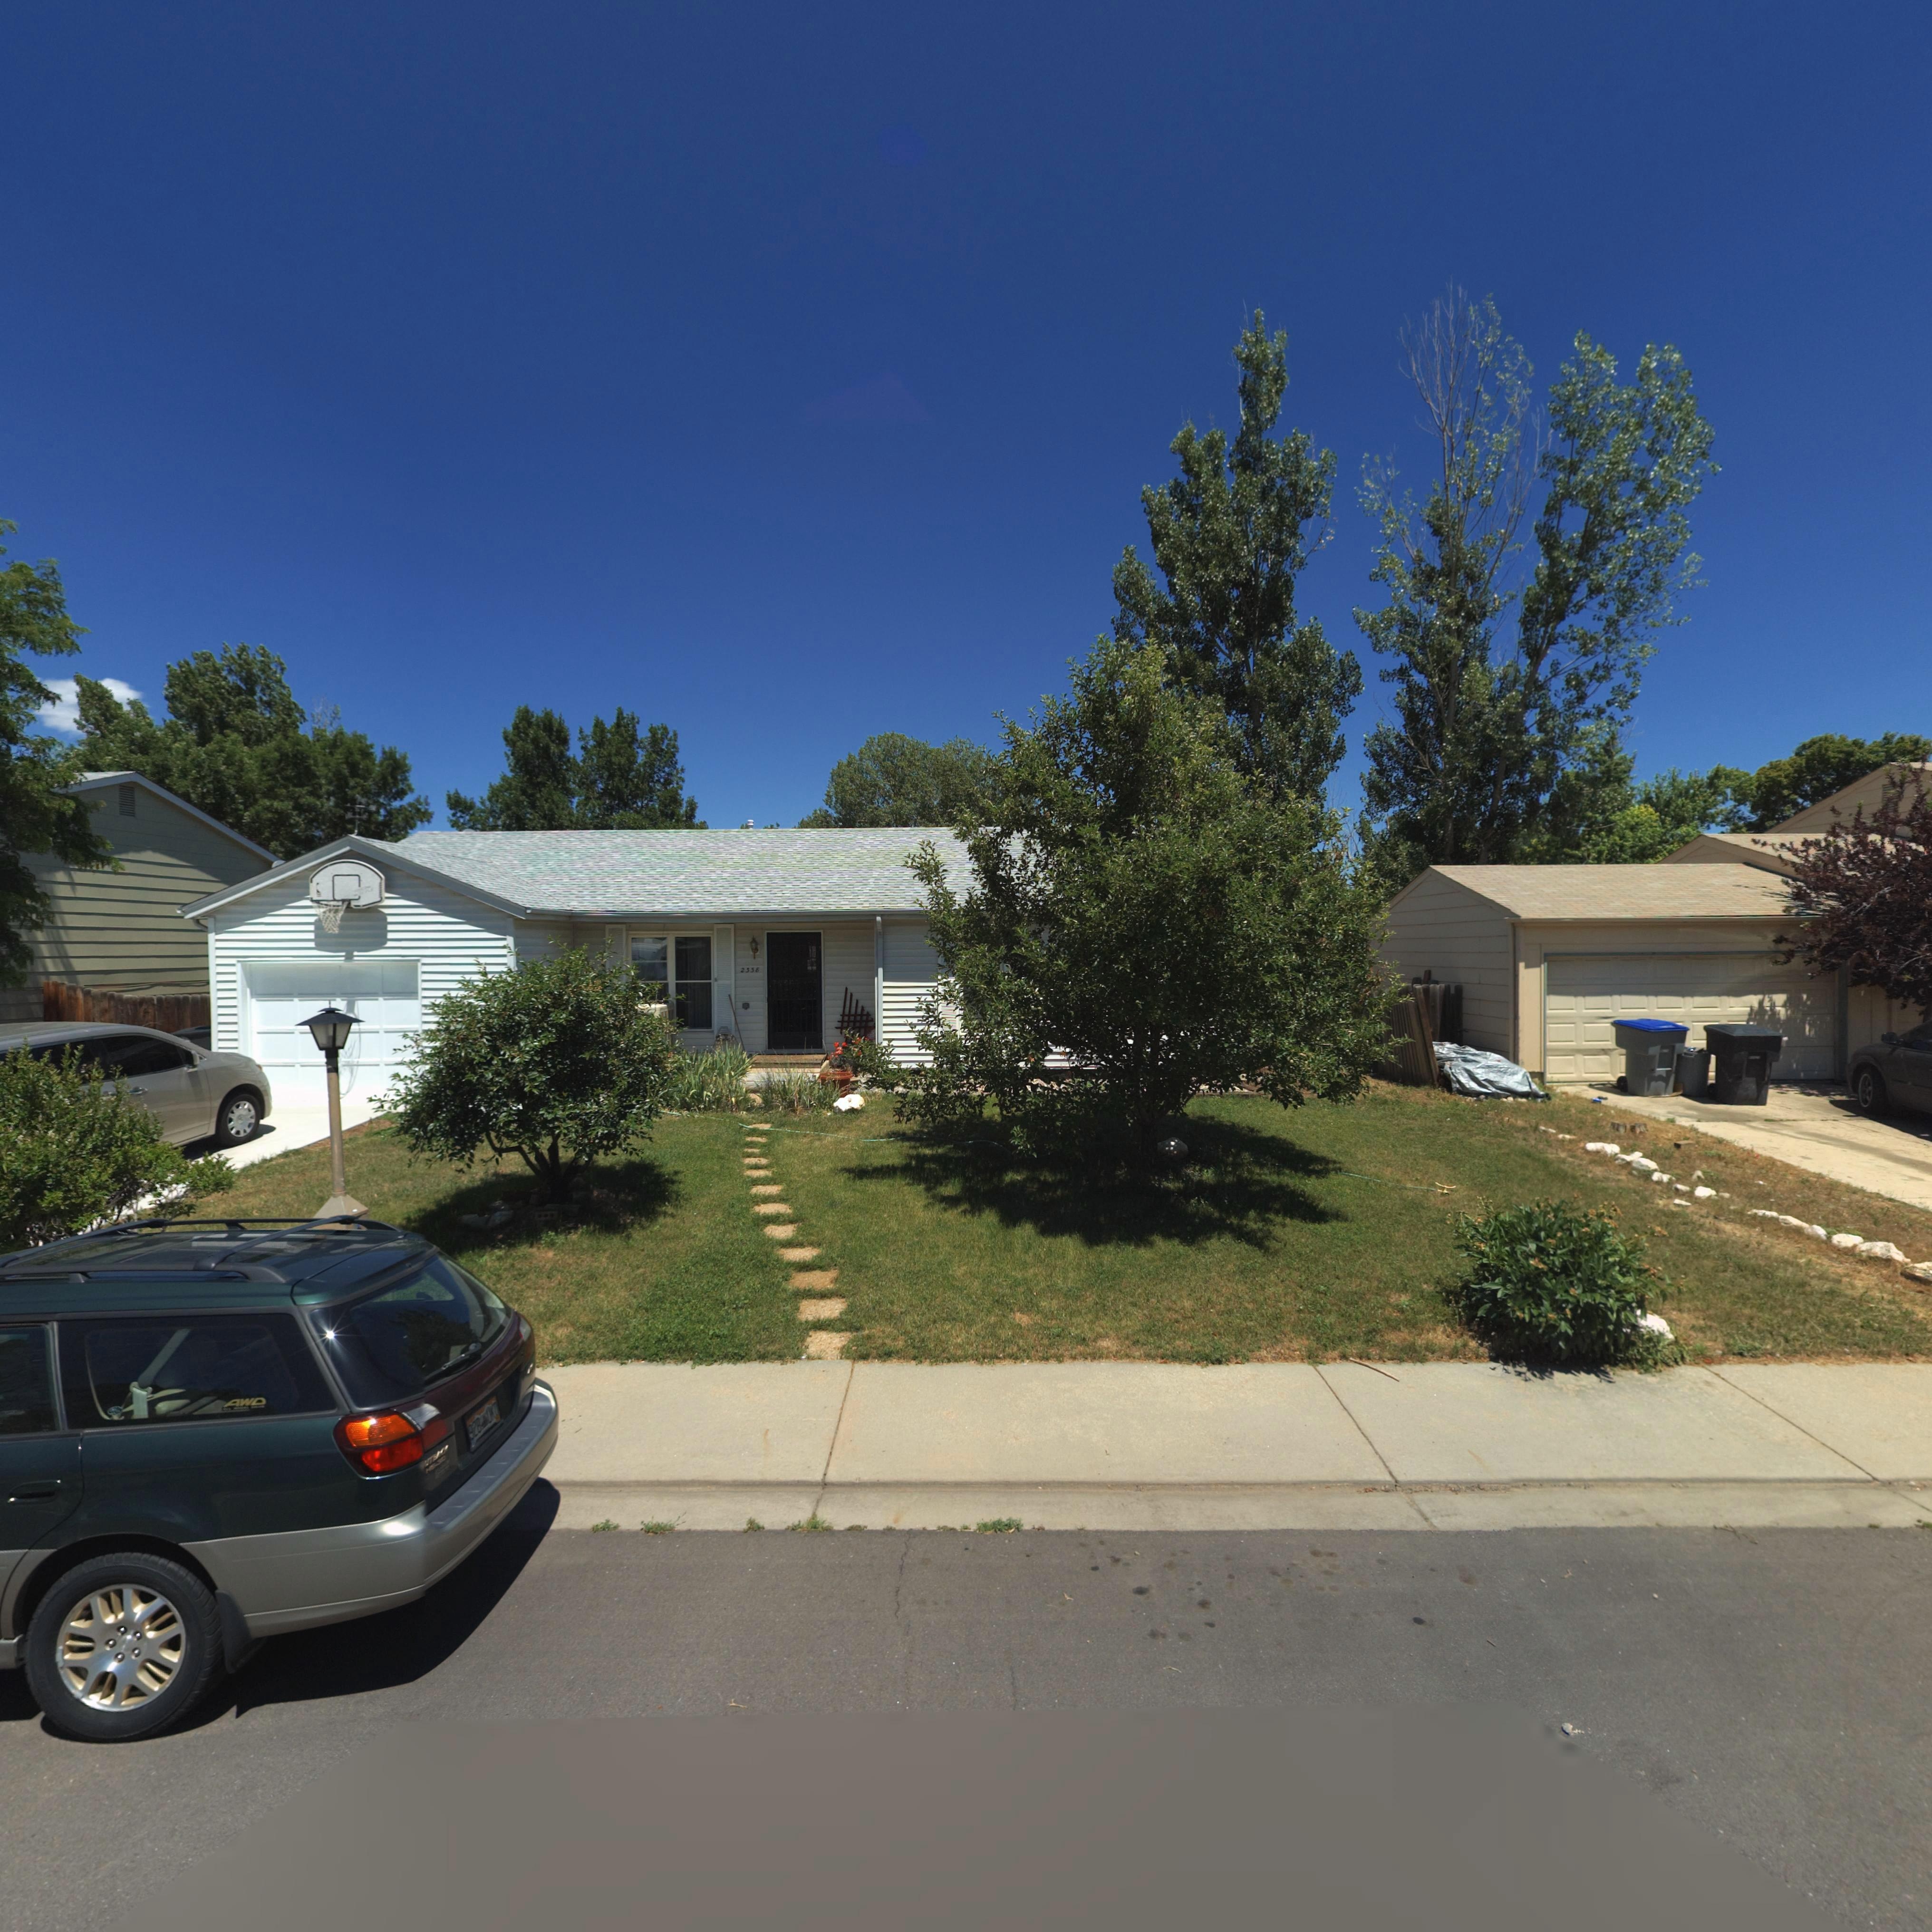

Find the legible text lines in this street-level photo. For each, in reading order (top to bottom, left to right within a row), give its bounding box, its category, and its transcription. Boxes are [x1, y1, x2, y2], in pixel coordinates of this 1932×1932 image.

[739, 967, 760, 973] StreetNumber: 2338